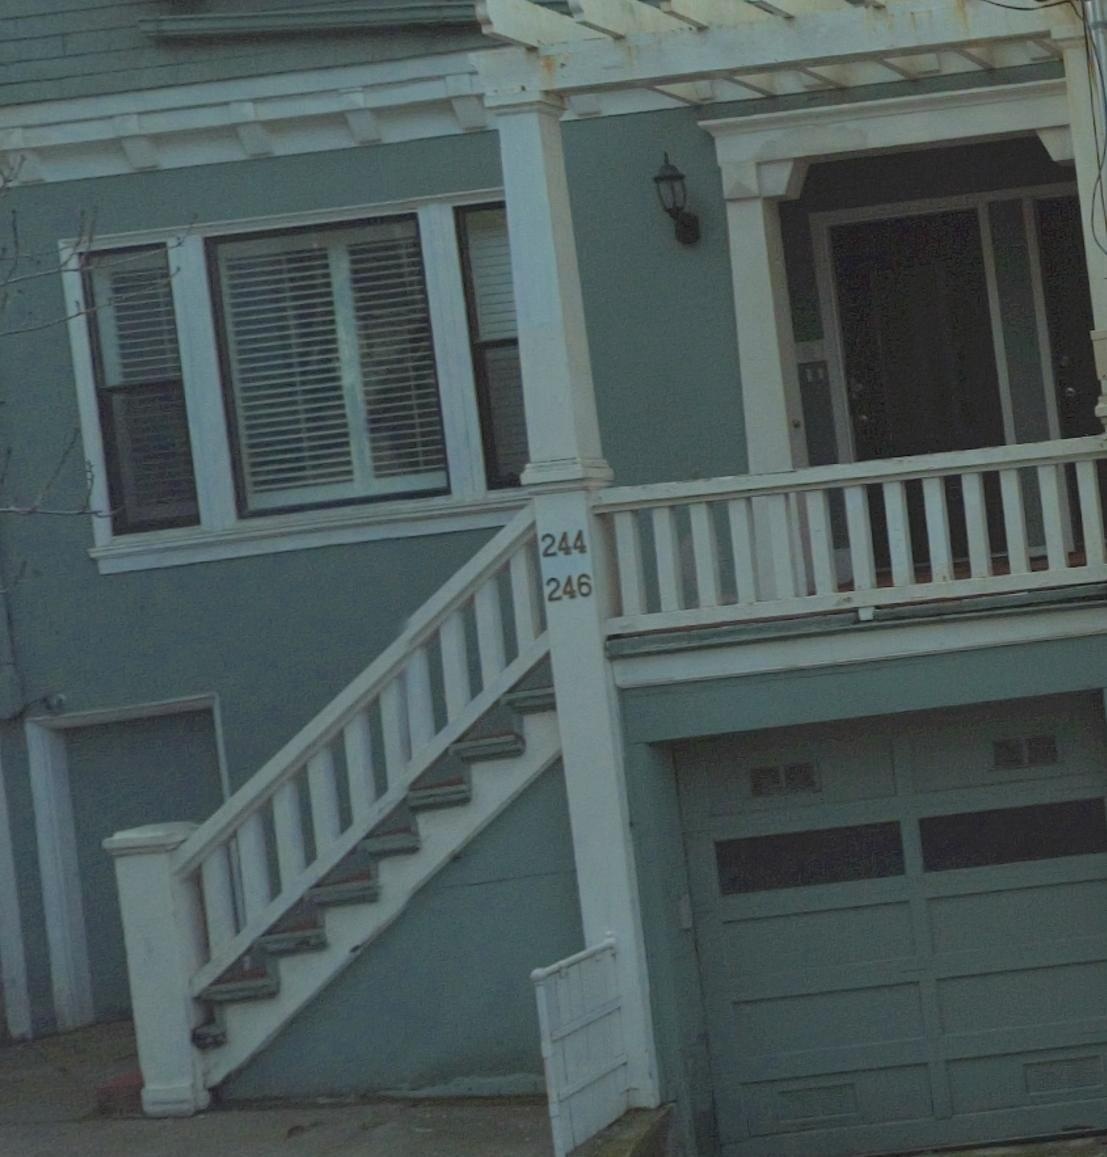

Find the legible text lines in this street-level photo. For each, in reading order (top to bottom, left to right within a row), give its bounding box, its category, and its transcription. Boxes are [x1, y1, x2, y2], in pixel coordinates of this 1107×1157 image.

[539, 528, 589, 560] StreetNumber: 244
[544, 570, 595, 604] StreetNumber: 246